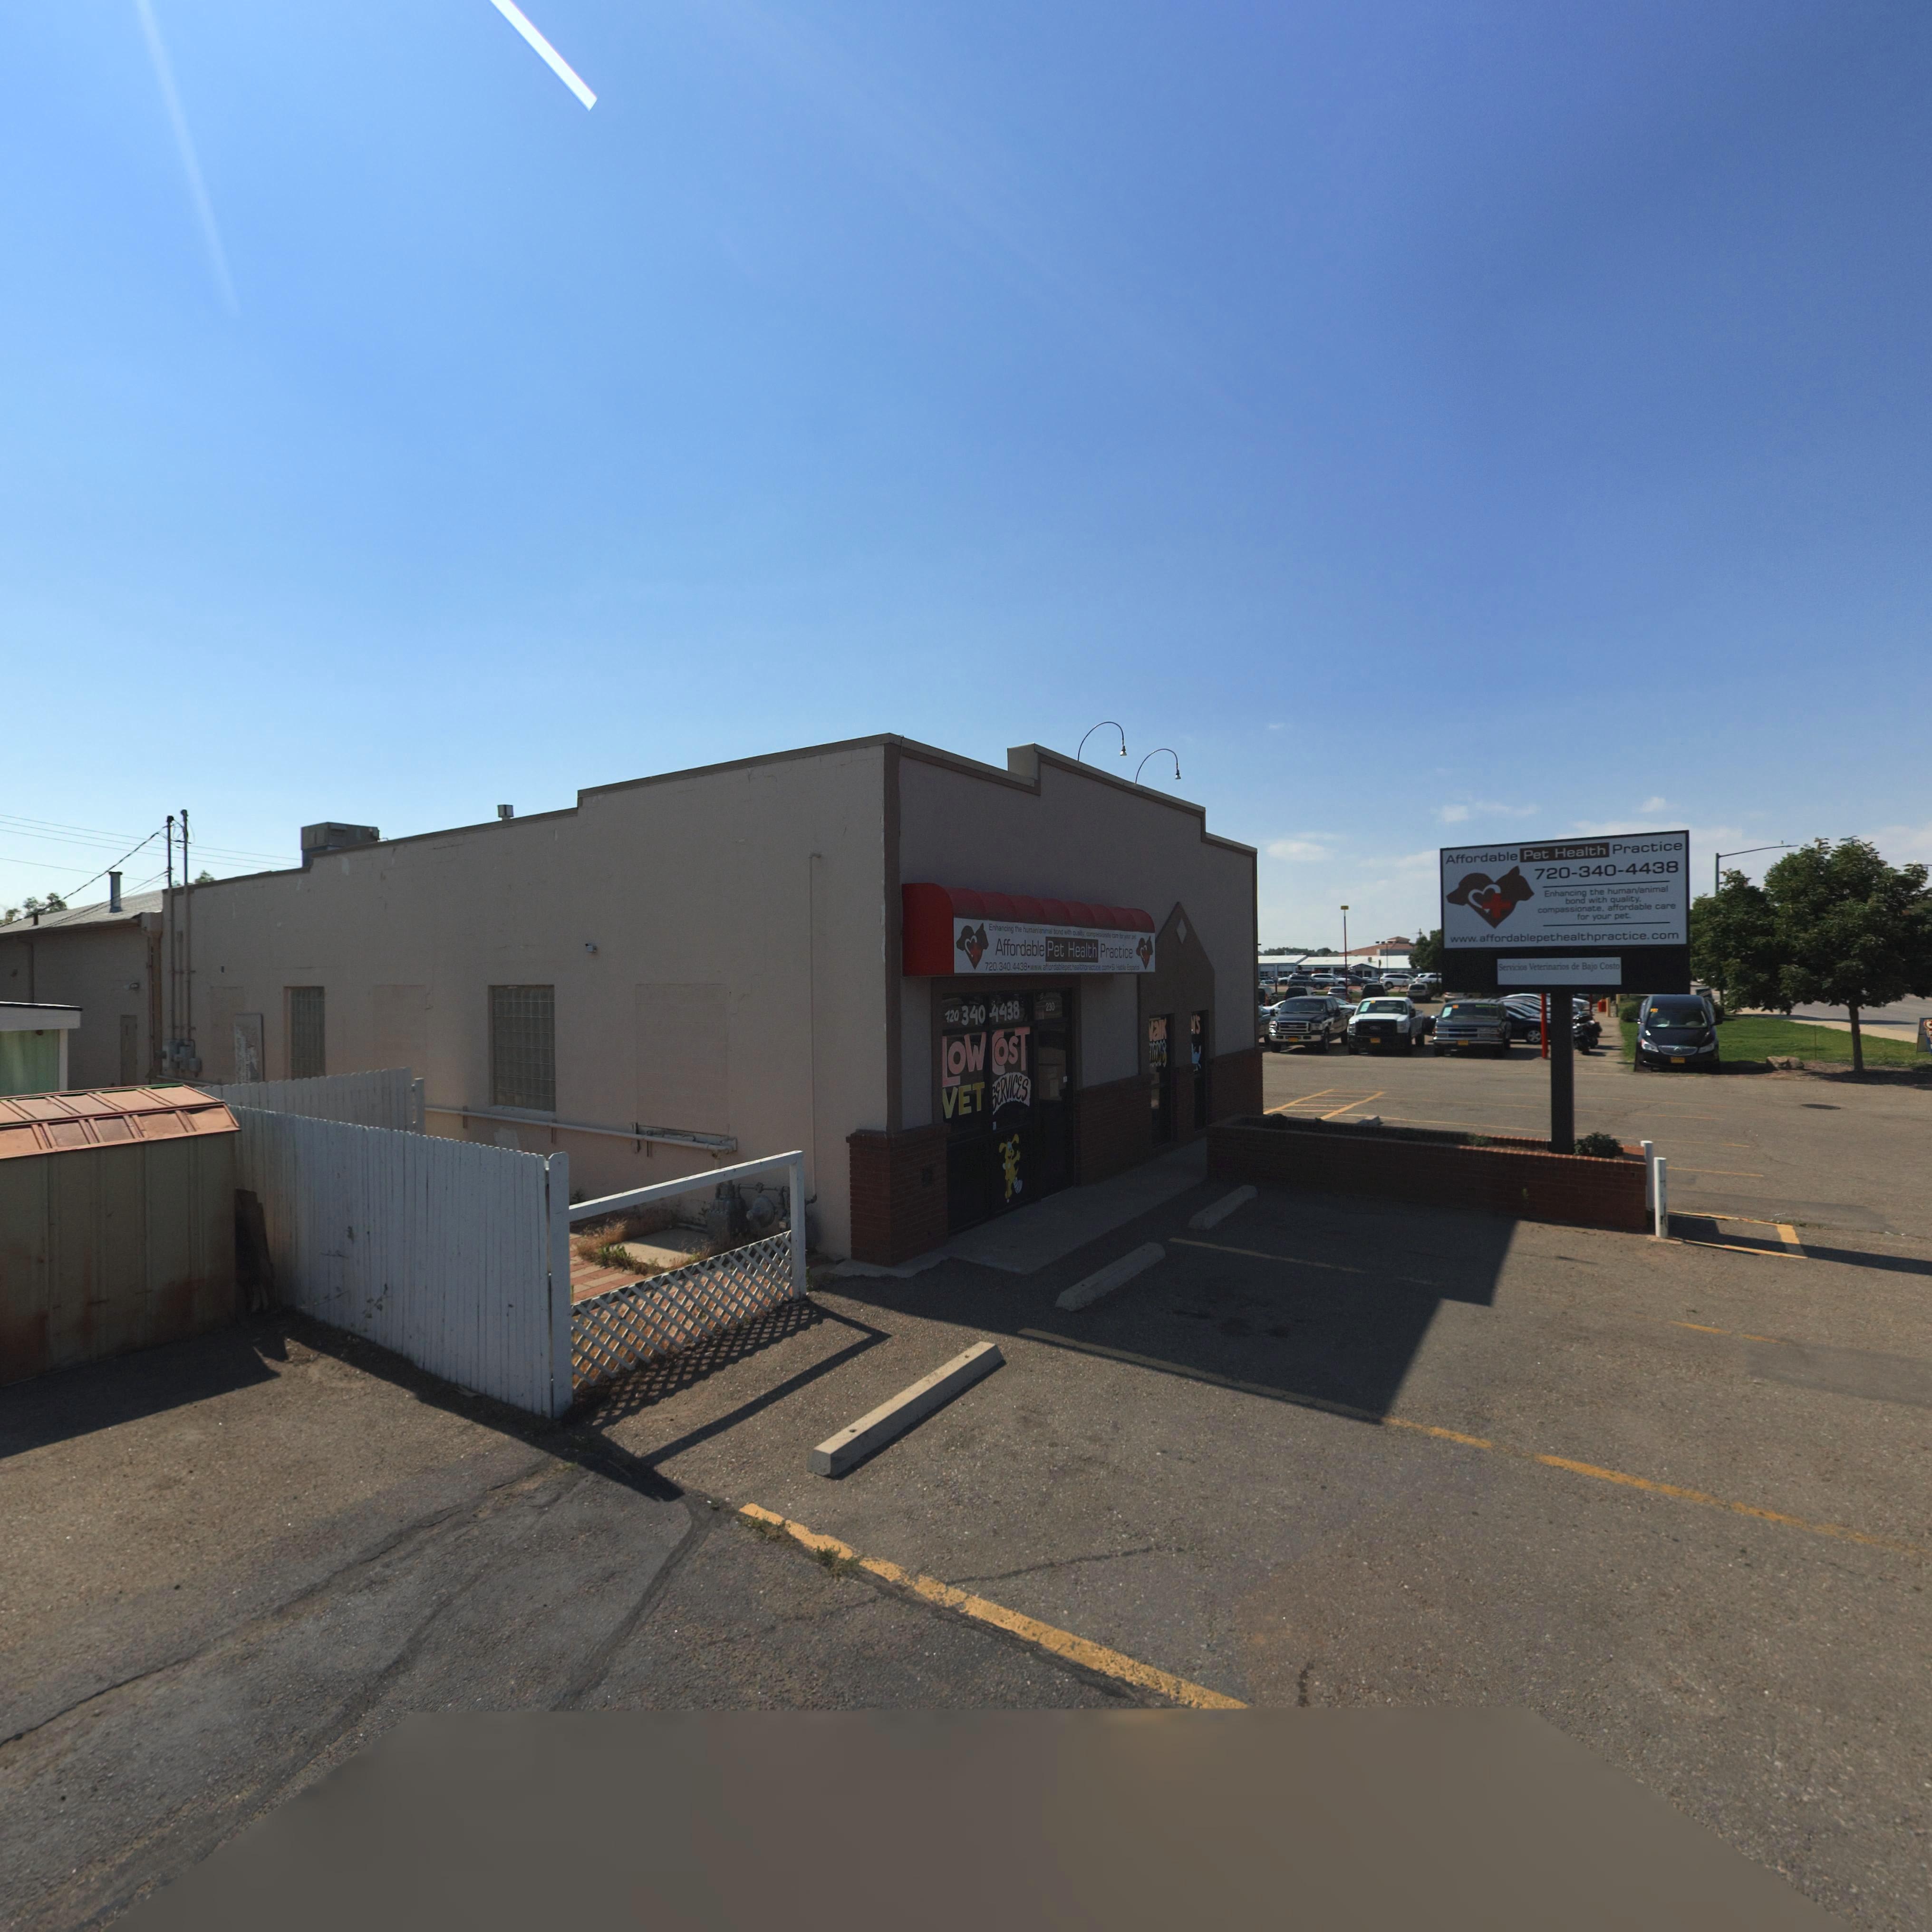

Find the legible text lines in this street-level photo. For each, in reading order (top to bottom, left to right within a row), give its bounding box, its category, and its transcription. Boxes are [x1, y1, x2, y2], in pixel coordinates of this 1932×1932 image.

[1445, 840, 1683, 865] BusinessName: Affordable Pet Health Practice
[995, 937, 1134, 959] BusinessName: Affordable Pet Health Practice